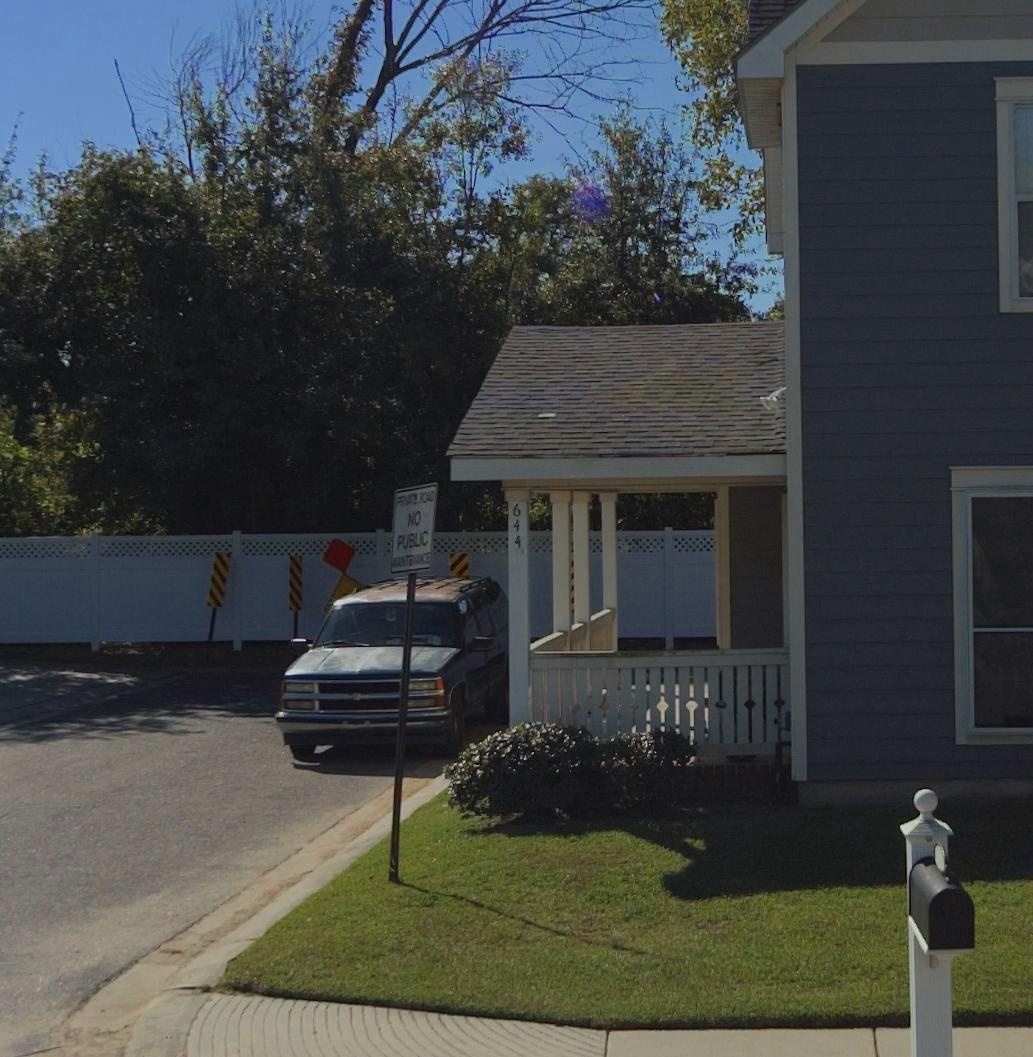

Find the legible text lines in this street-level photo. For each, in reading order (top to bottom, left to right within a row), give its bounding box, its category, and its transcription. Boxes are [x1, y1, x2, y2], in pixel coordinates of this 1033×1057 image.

[406, 509, 422, 529] None: NO
[510, 501, 524, 553] StreetNumber: 644
[396, 528, 429, 552] None: PUBLIC